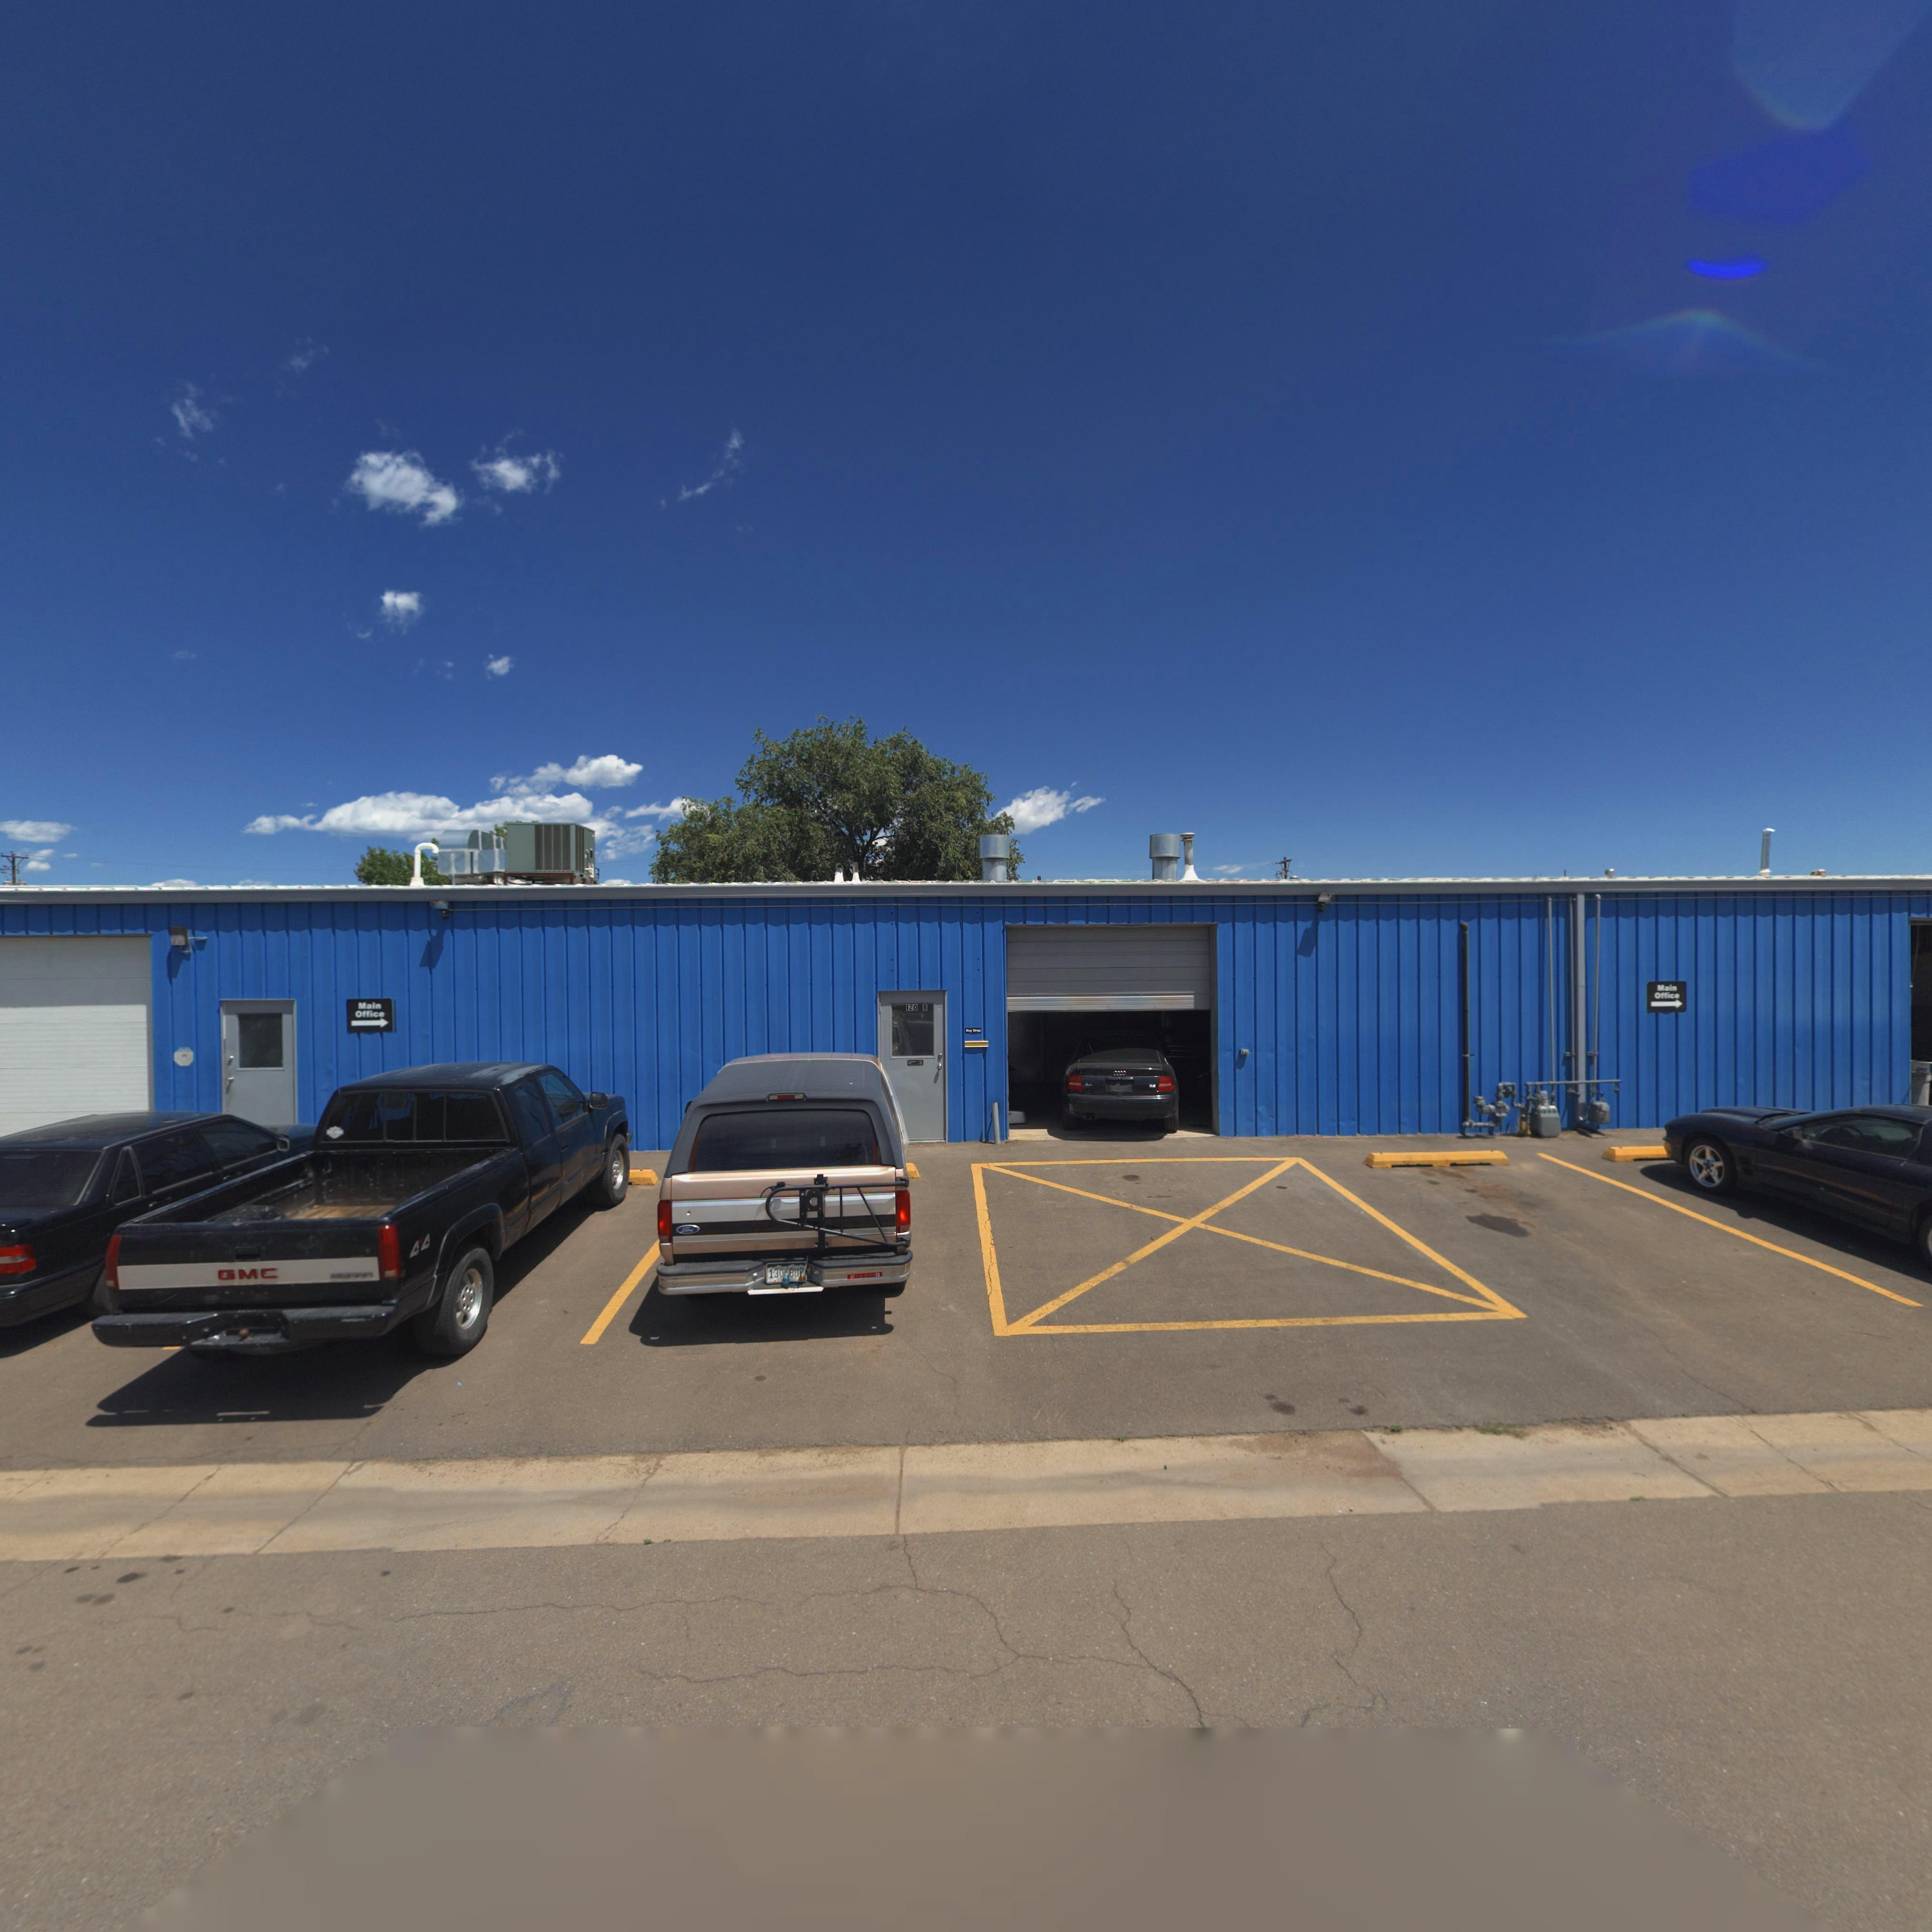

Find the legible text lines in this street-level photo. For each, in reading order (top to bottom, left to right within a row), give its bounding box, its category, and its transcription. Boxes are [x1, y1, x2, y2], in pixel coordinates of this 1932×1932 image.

[905, 1004, 918, 1011] StreetNumber: 120
[922, 1004, 927, 1011] StreetNumber: B